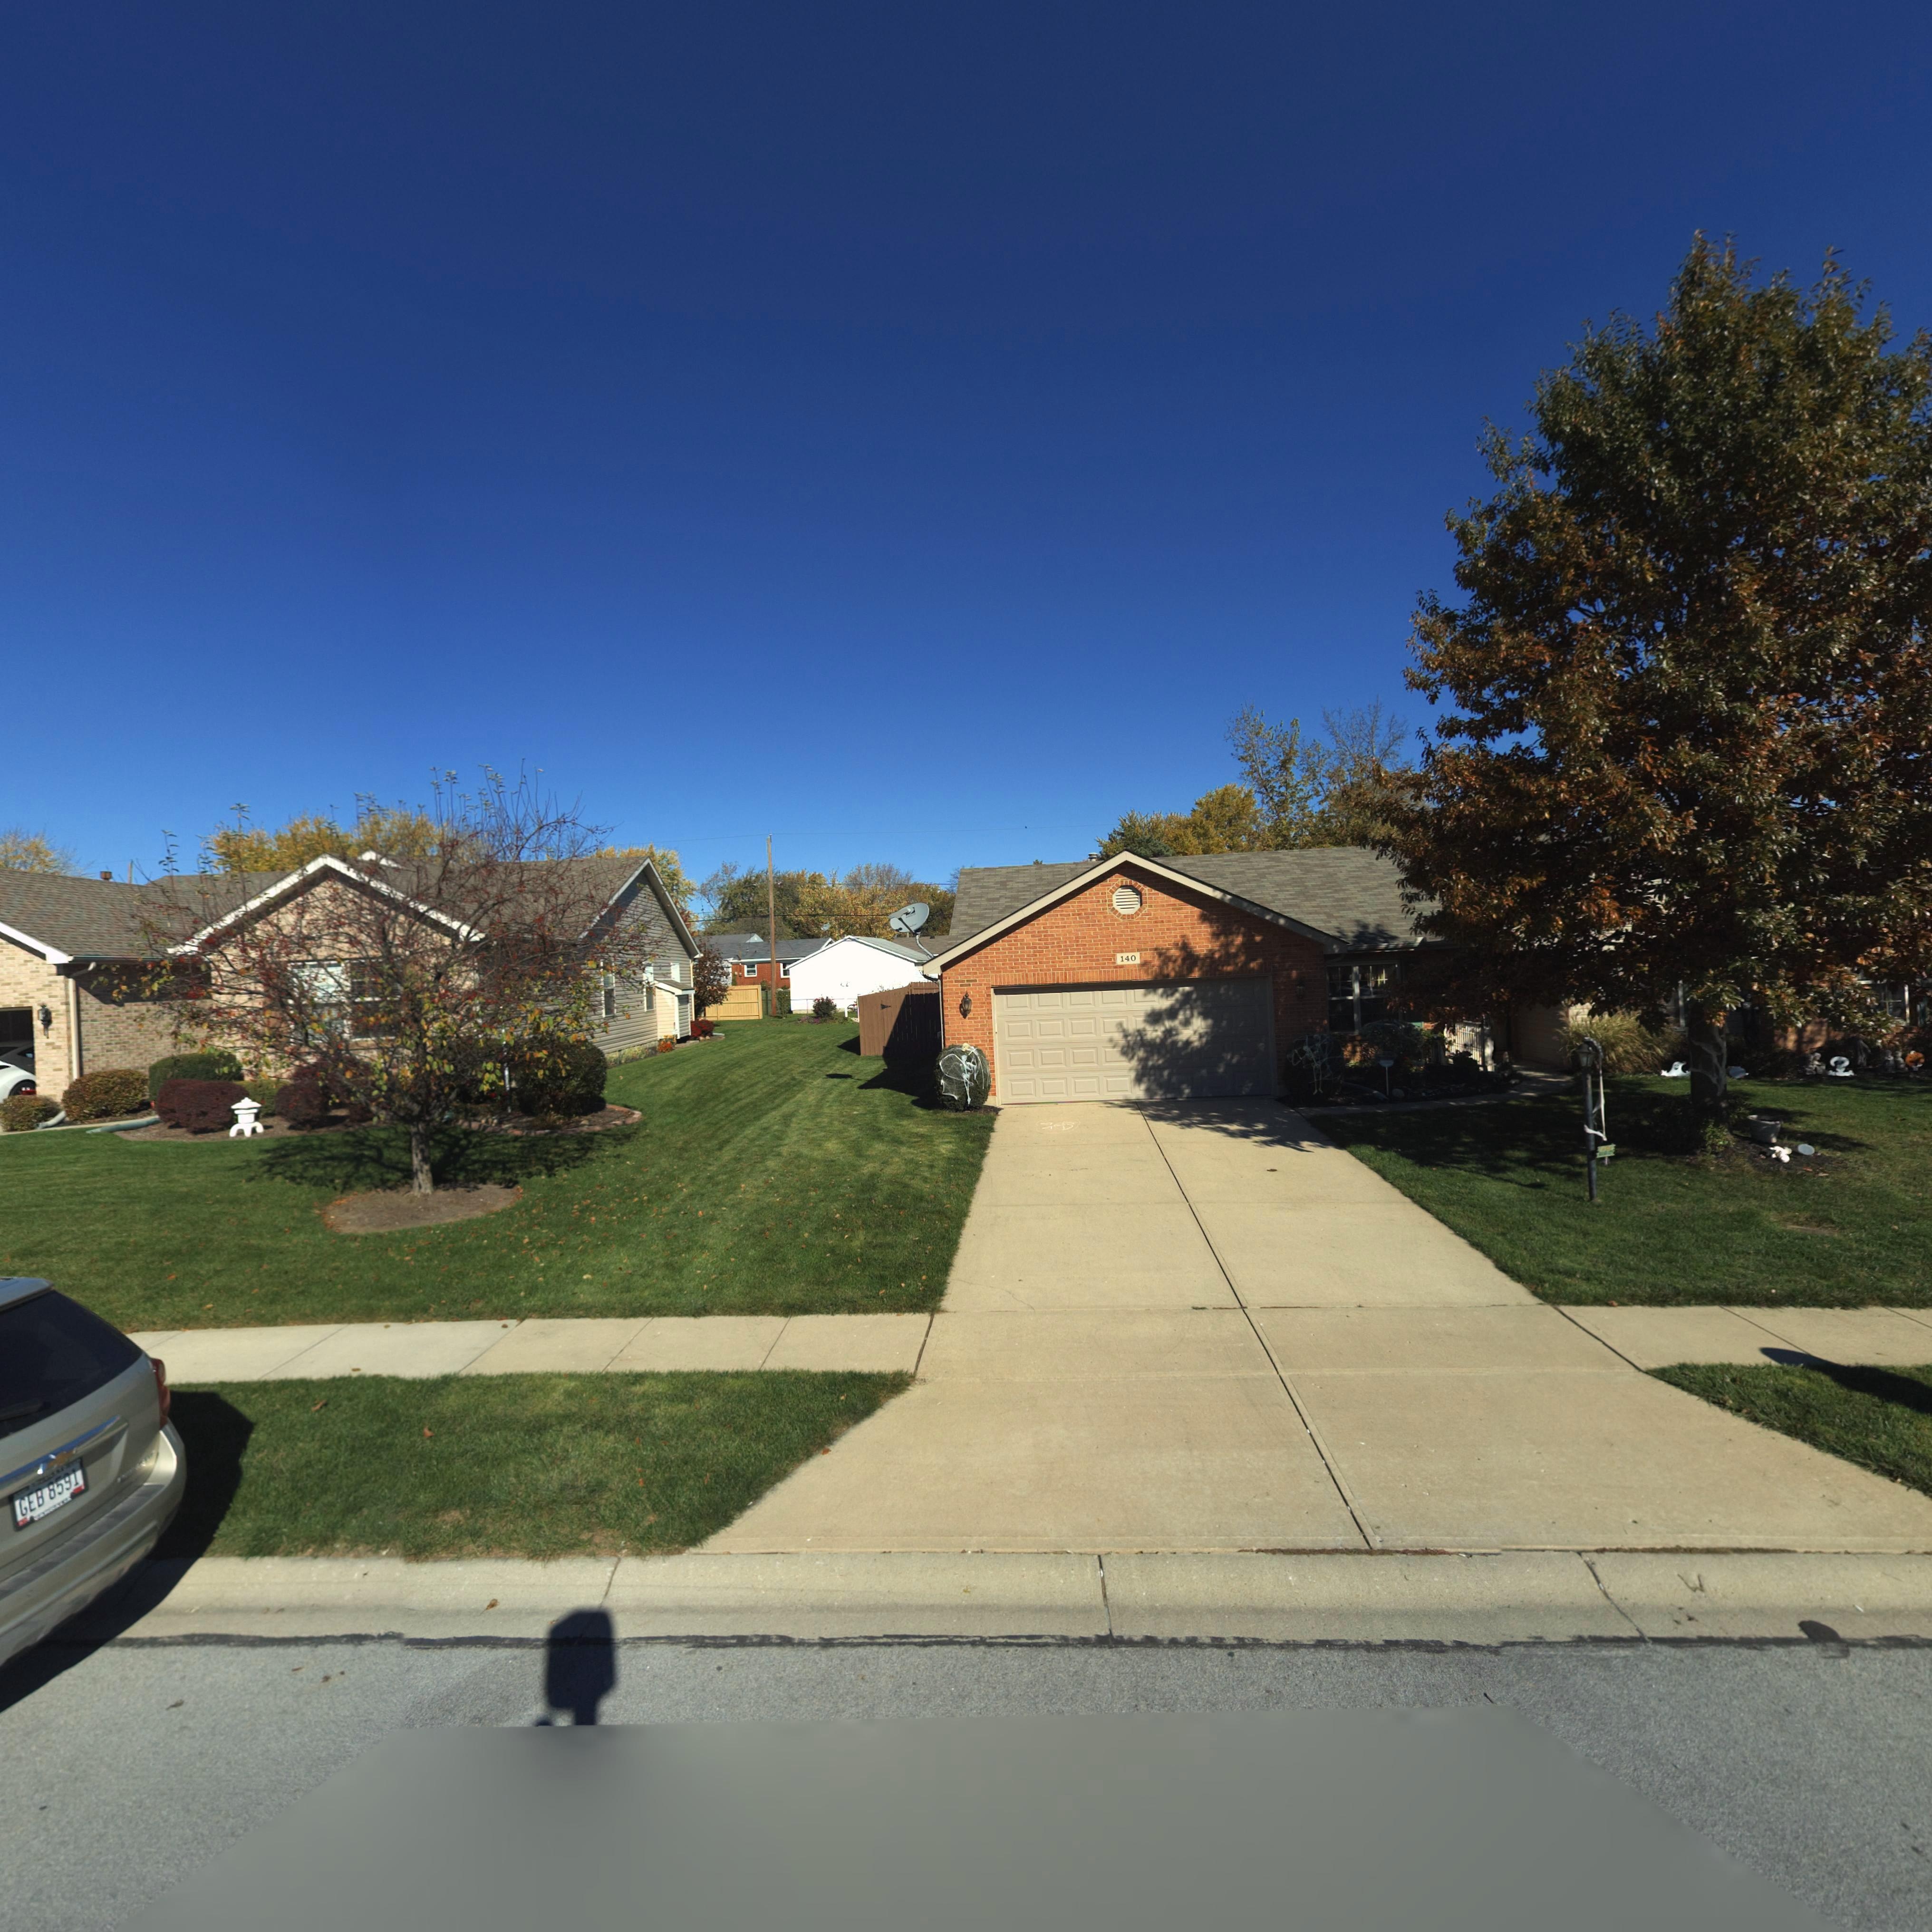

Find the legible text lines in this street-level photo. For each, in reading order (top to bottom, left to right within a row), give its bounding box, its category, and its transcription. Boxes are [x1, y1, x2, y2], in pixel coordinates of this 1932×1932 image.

[1120, 955, 1136, 962] StreetNumber: 140
[15, 1462, 81, 1518] None: GEB 8591